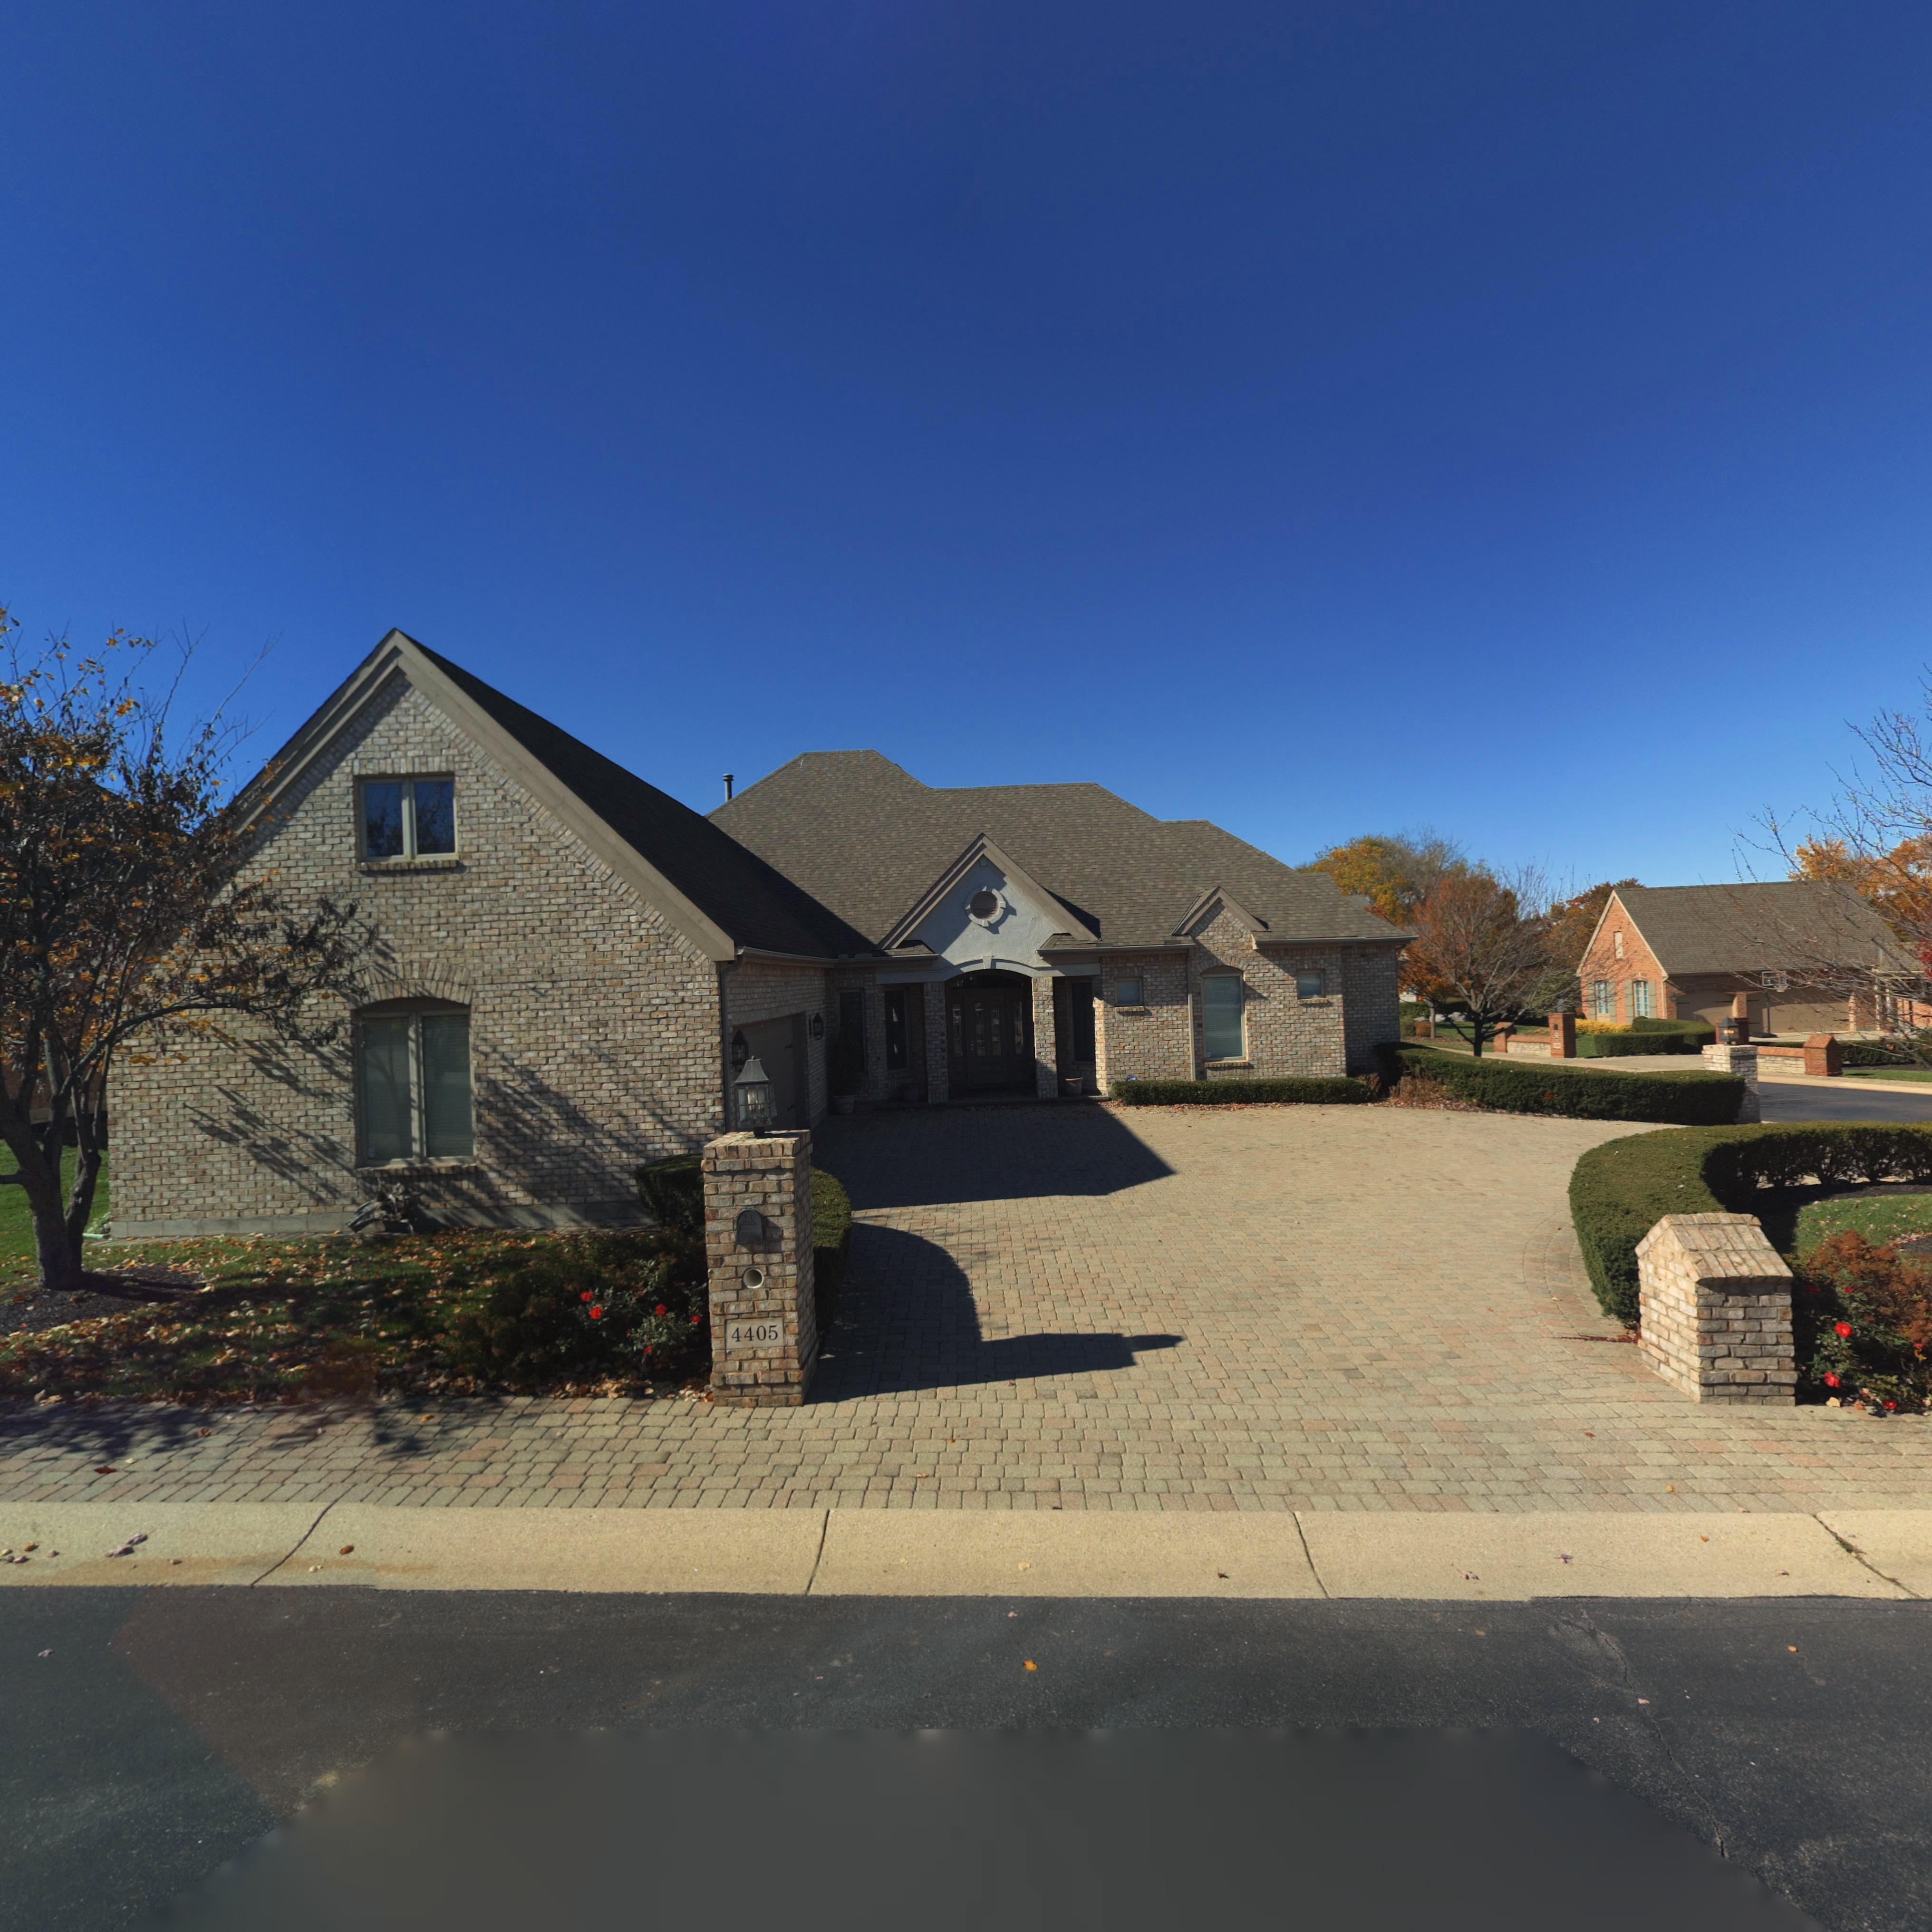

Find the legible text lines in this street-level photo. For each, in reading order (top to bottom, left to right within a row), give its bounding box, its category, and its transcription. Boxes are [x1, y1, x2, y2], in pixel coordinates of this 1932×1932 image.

[731, 1323, 779, 1343] StreetNumber: 4405